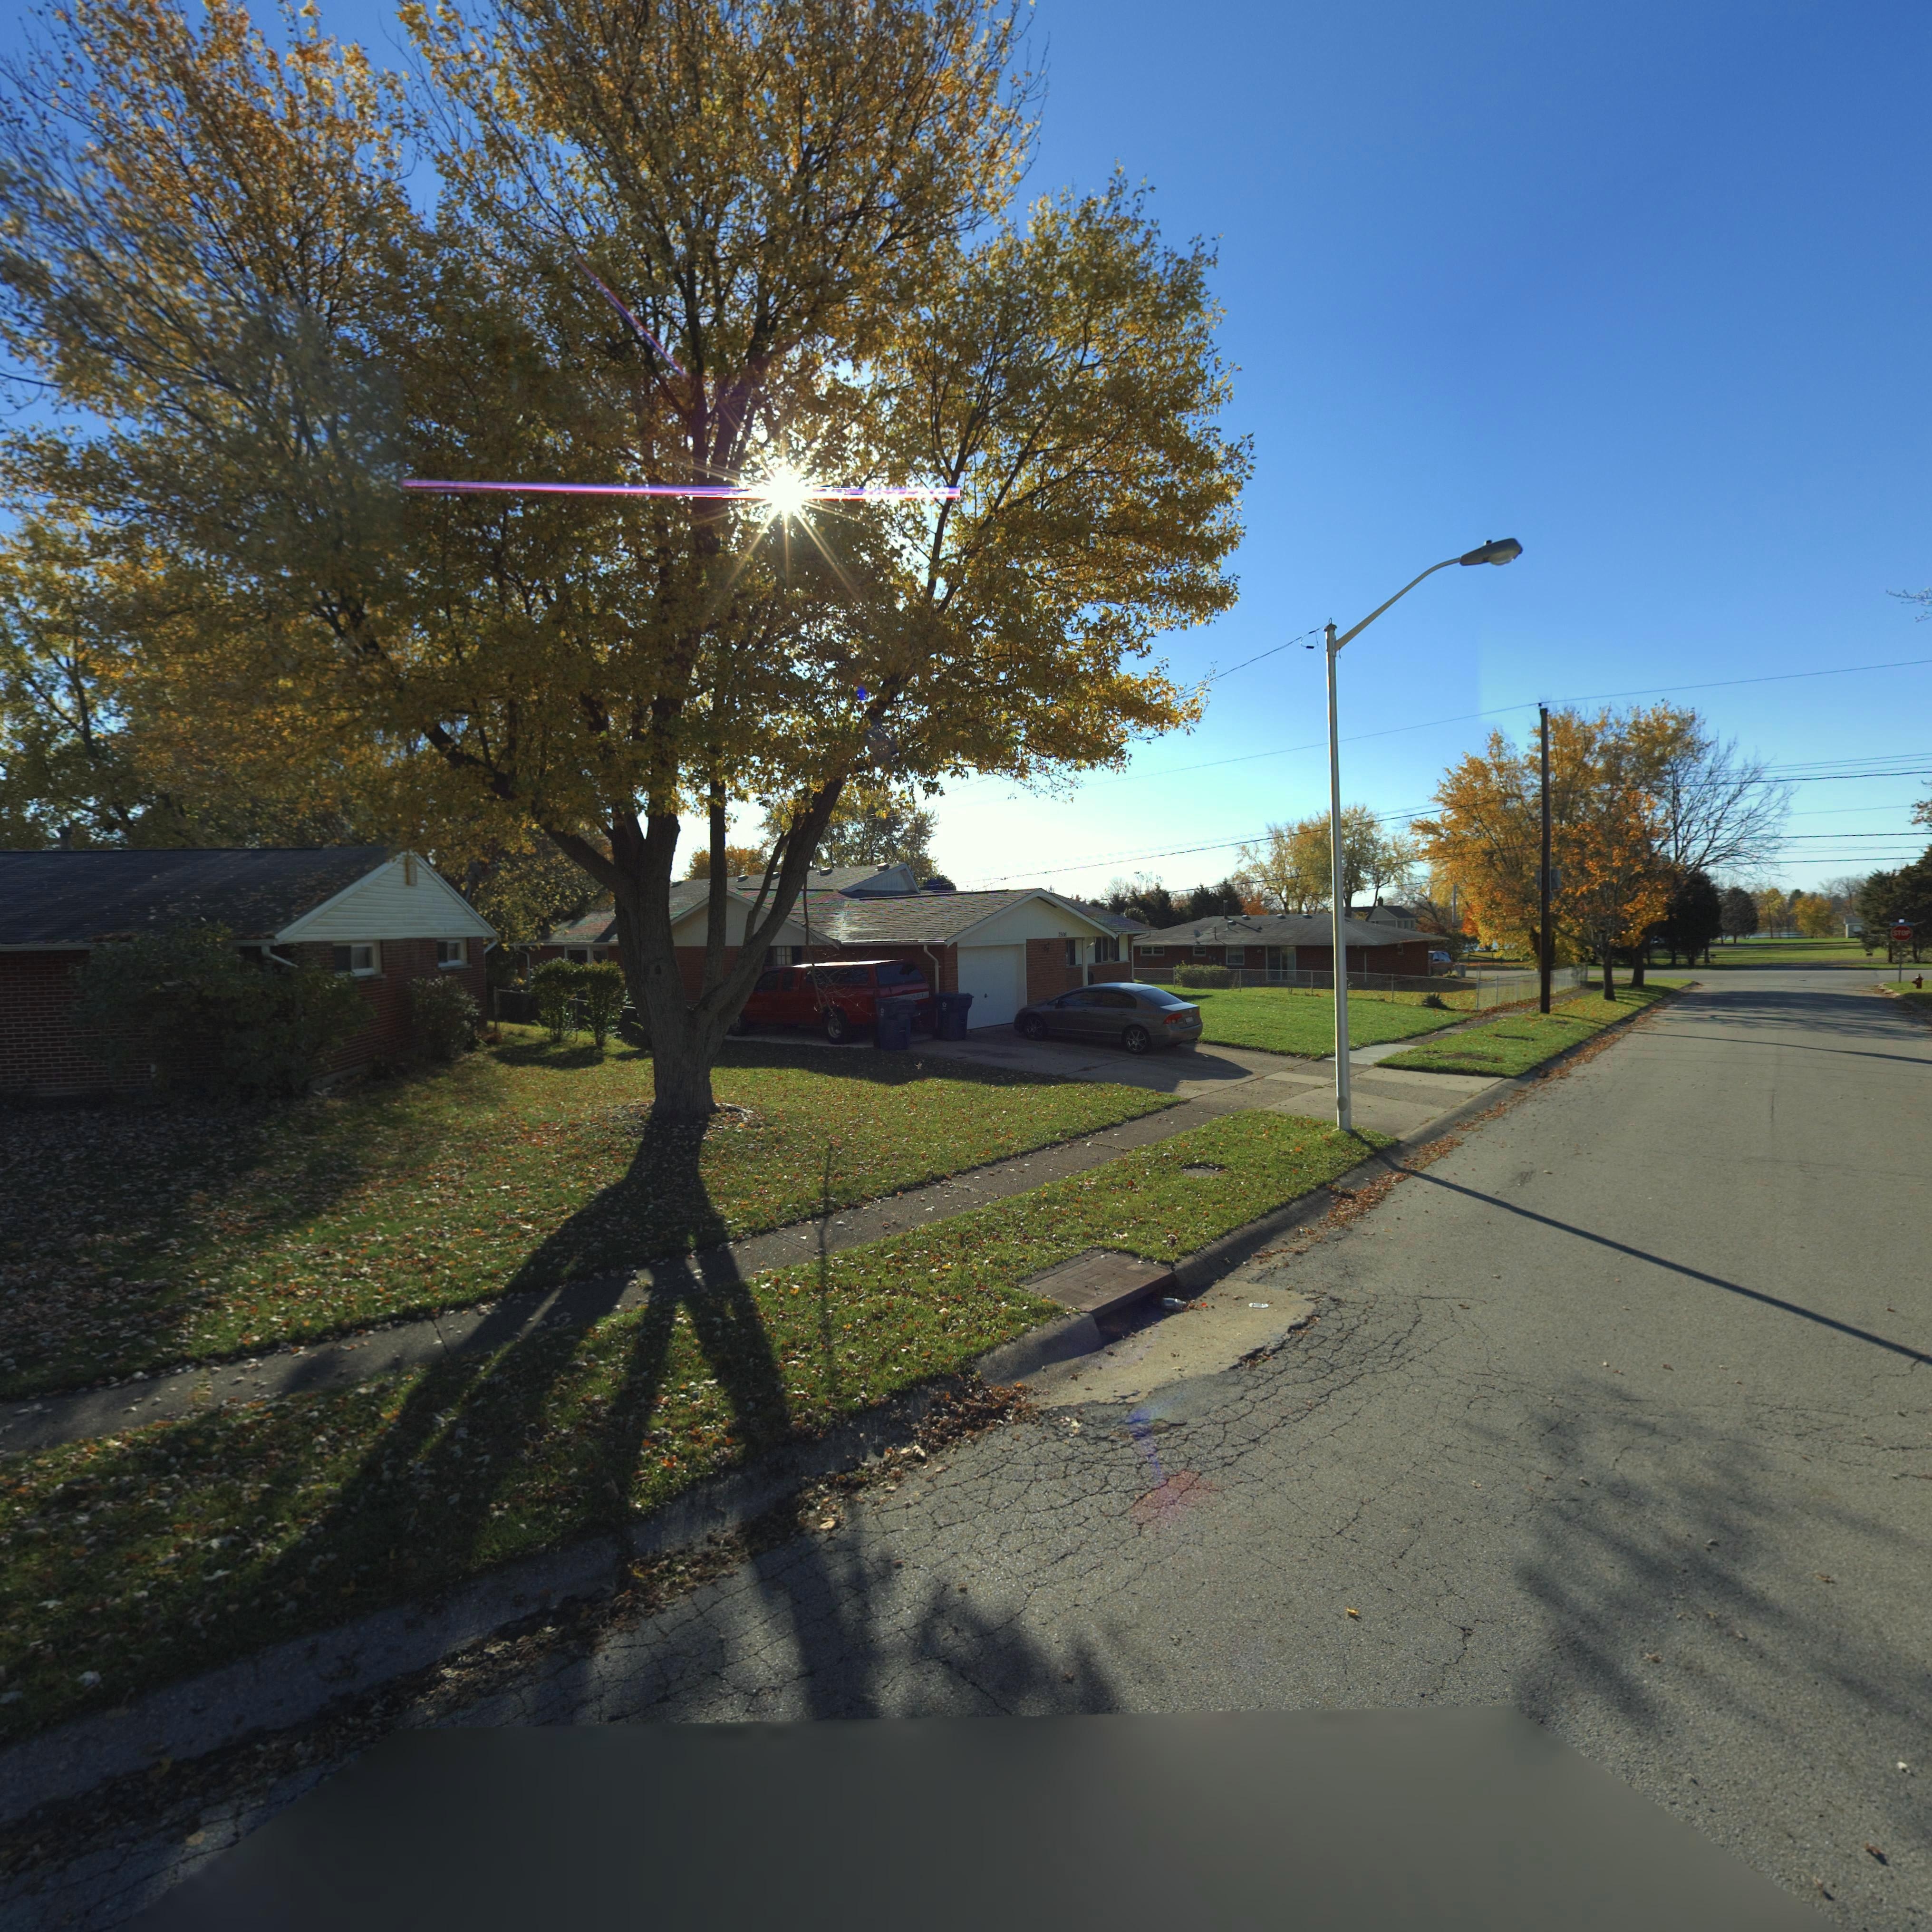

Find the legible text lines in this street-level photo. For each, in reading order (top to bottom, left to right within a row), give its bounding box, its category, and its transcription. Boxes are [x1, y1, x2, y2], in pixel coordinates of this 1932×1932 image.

[1057, 931, 1068, 938] StreetNumber: 7506